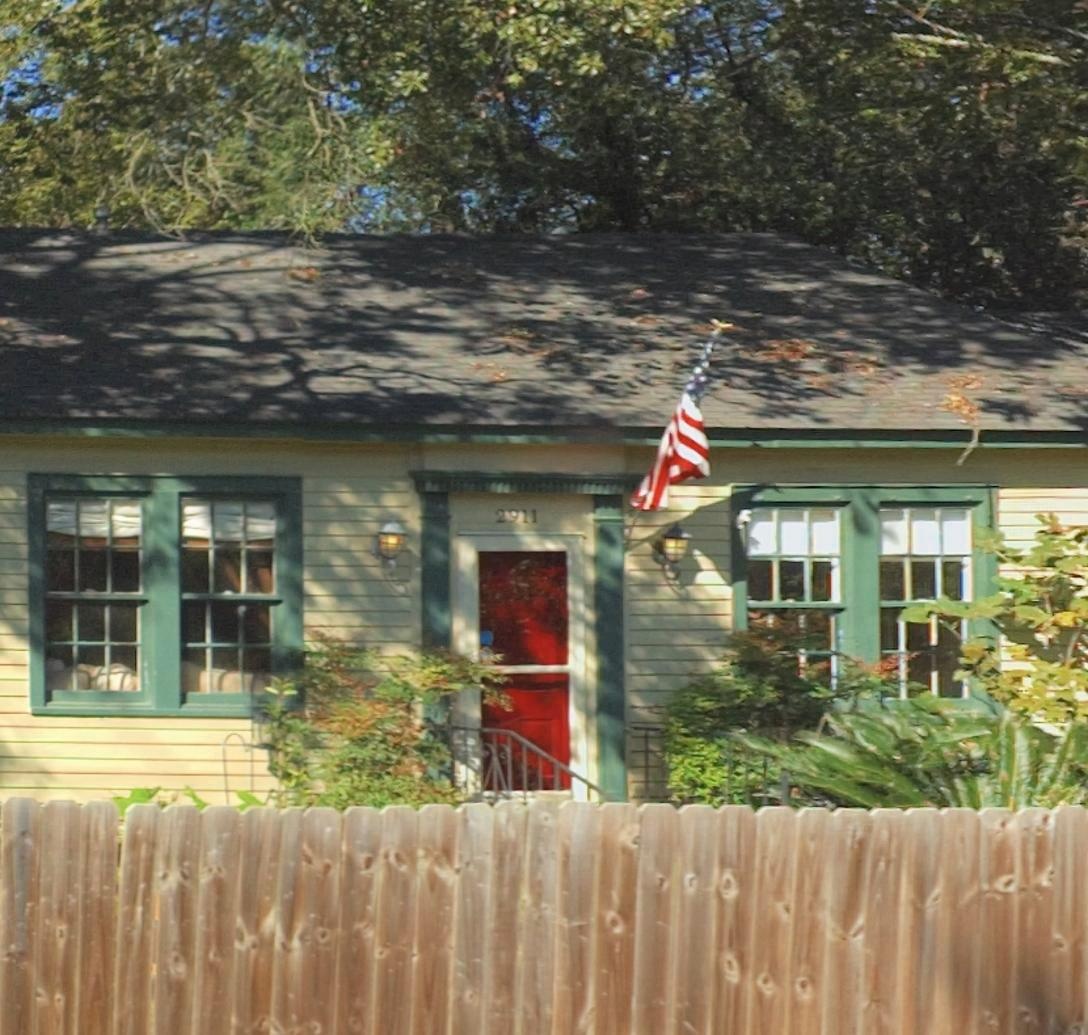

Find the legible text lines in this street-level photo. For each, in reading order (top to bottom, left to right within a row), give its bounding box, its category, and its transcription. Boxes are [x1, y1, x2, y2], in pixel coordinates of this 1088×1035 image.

[493, 506, 539, 525] StreetNumber: 2911